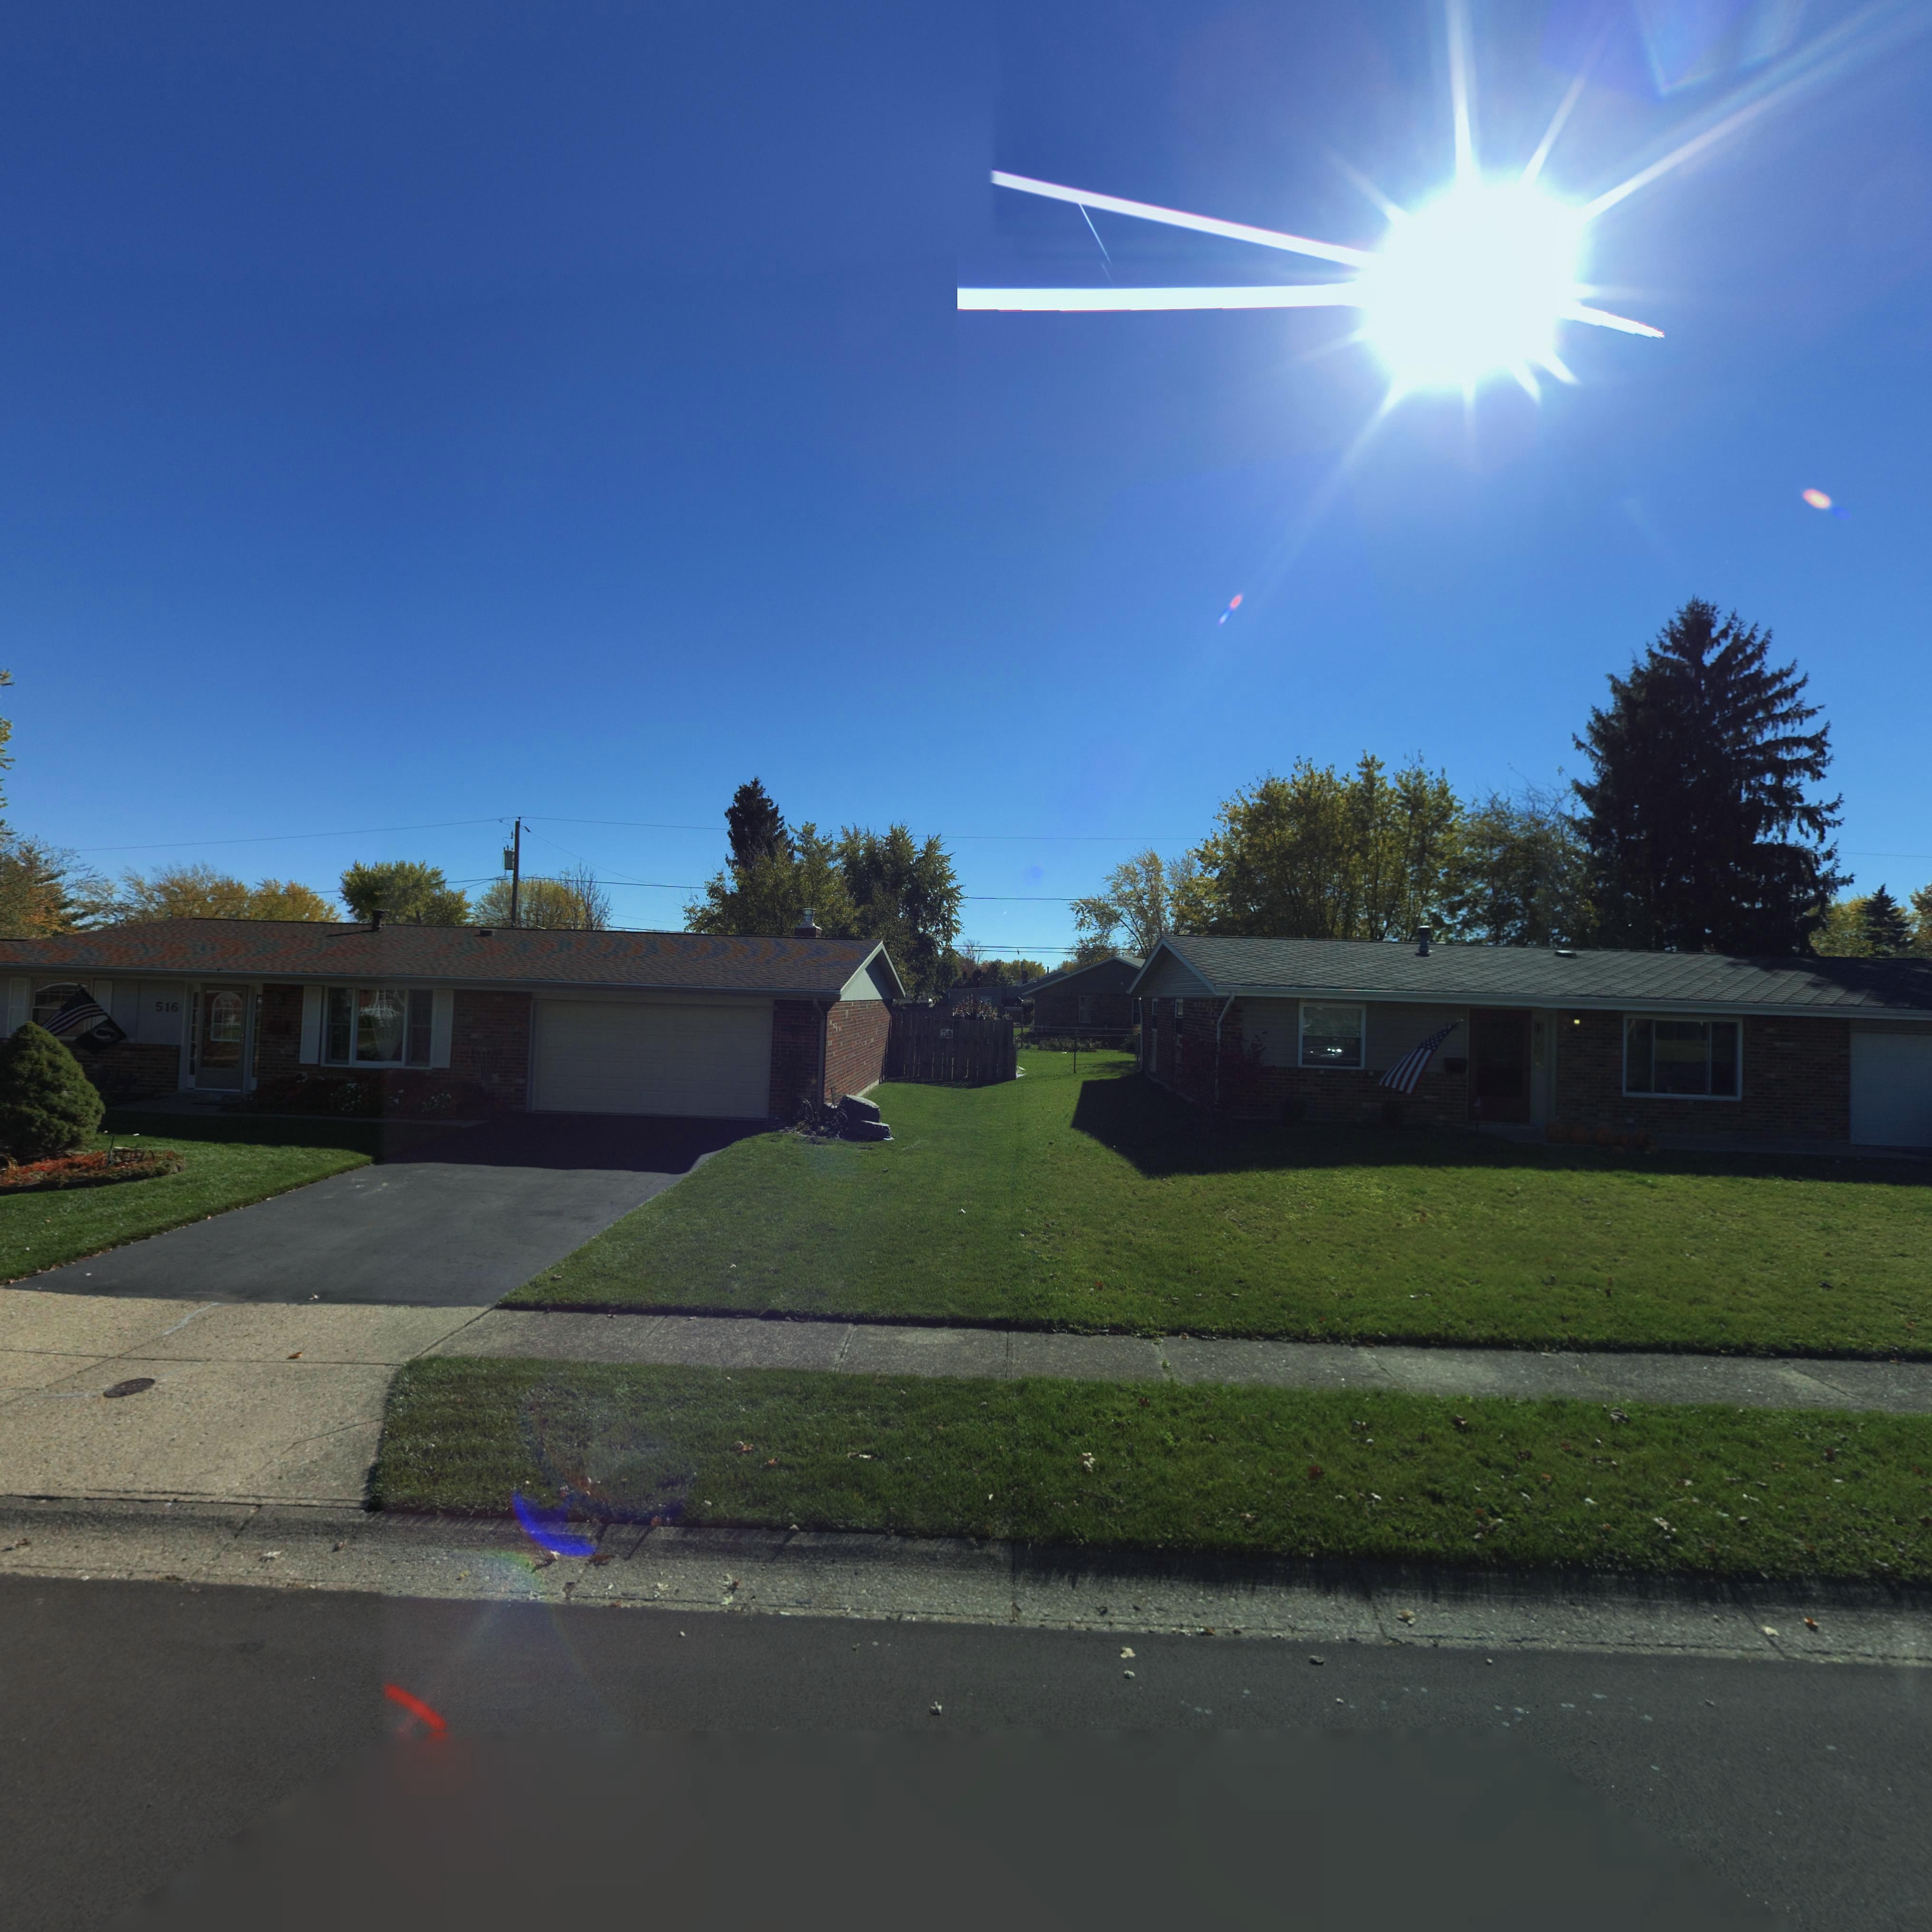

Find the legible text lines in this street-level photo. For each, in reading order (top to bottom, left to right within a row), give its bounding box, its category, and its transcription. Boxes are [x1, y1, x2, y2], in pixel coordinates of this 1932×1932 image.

[155, 1001, 179, 1013] StreetNumber: 516